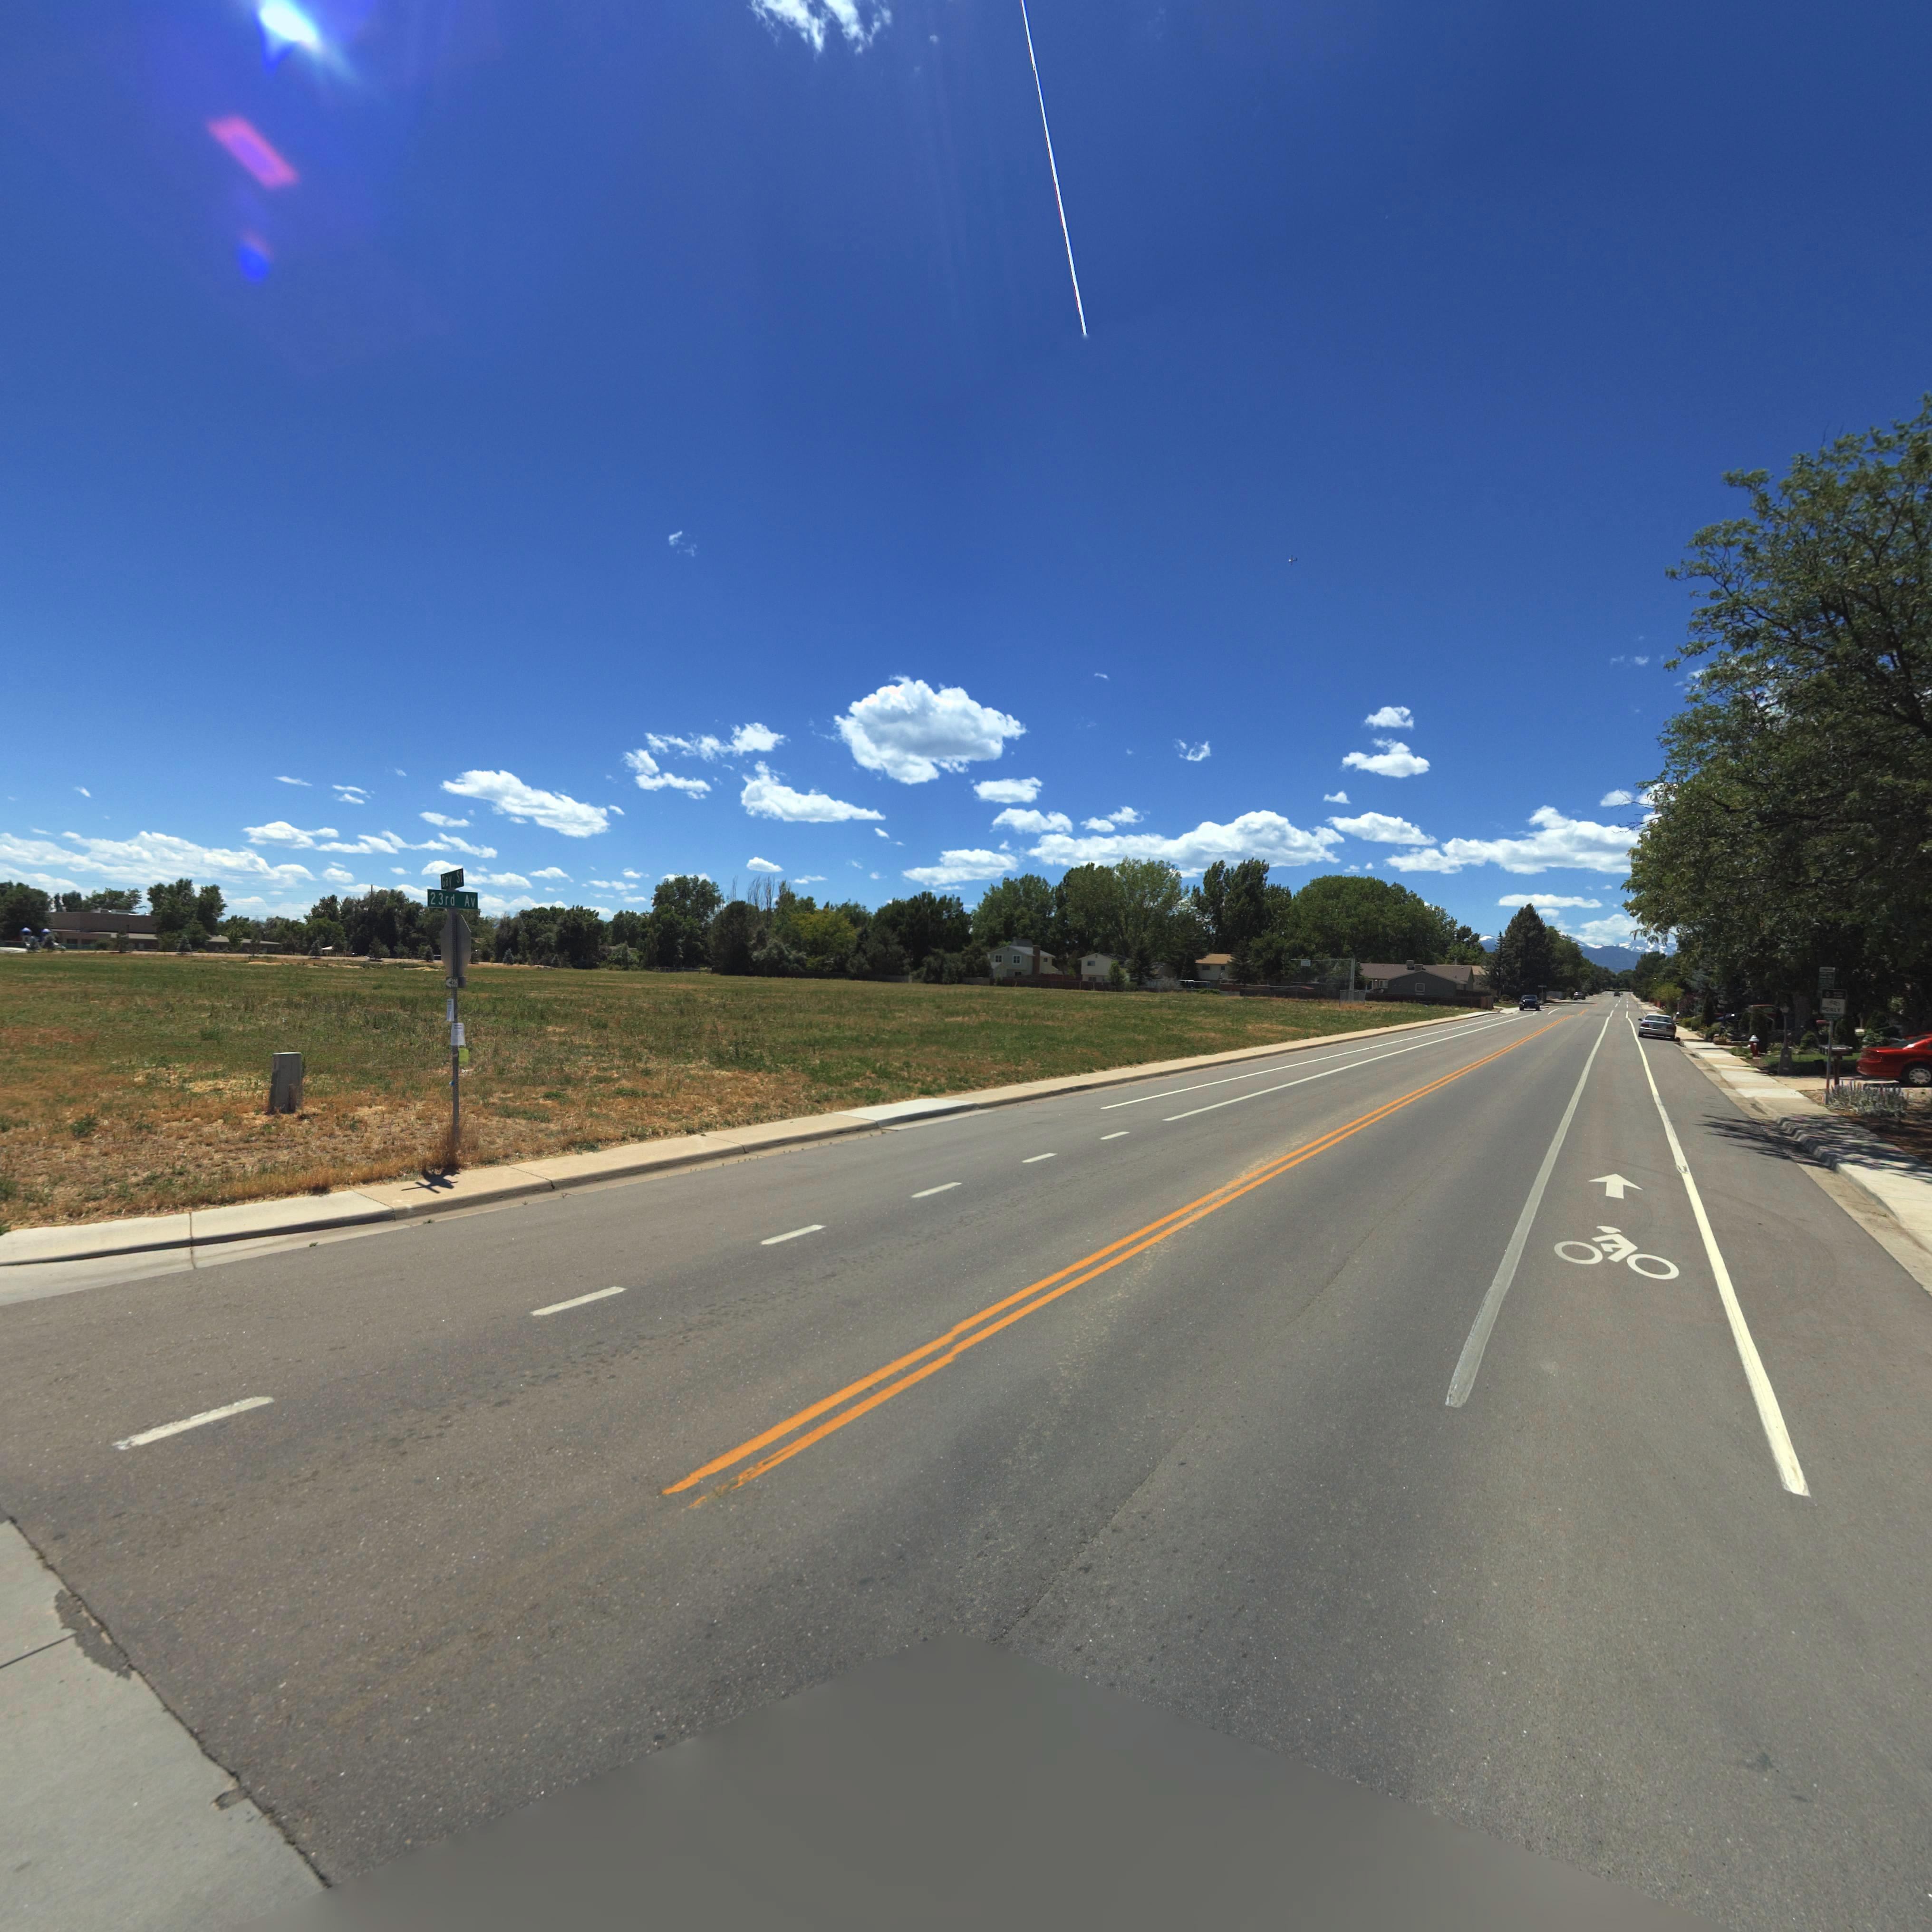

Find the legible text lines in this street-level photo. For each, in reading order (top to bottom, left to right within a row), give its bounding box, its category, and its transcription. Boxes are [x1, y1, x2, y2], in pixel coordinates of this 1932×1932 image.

[441, 870, 463, 889] StreetName: Gay St
[430, 891, 475, 907] StreetName: 23rd Av